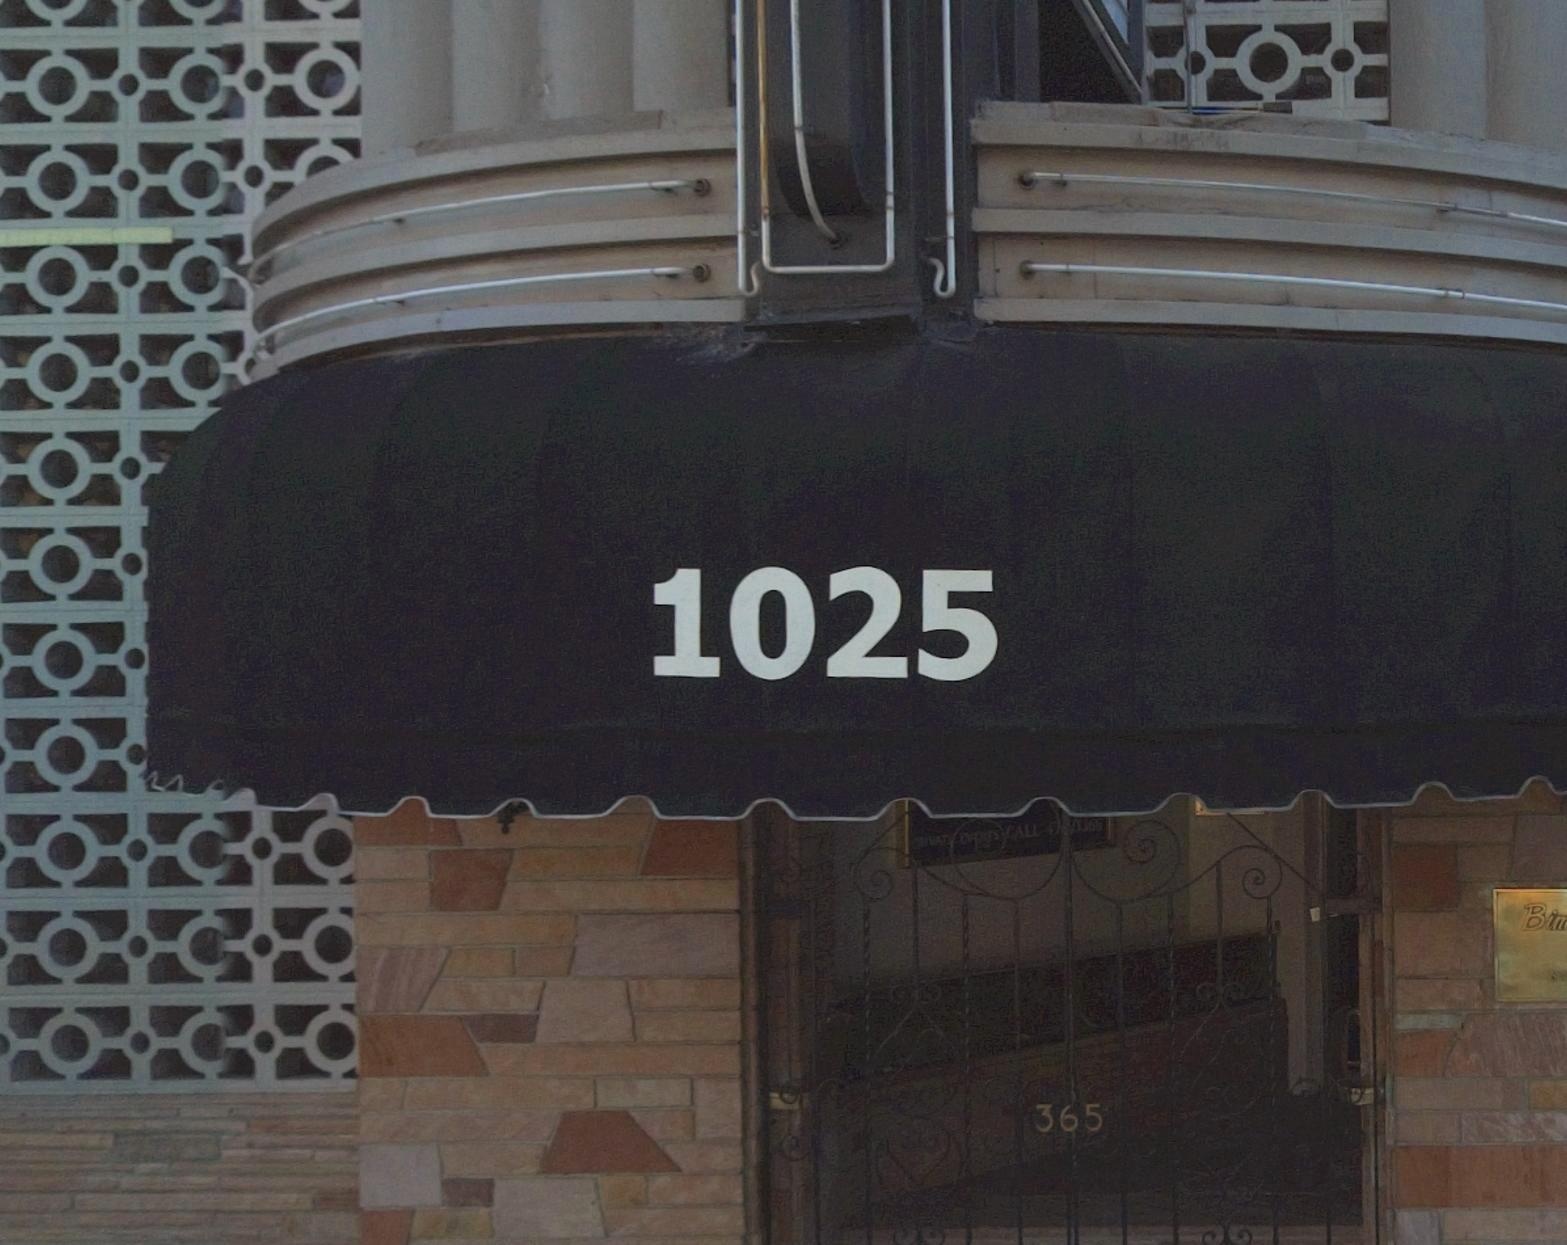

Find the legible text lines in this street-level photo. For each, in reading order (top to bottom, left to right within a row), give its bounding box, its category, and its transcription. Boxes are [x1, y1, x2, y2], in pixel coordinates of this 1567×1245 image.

[644, 555, 1001, 689] StreetNumber: 1025
[1003, 820, 1041, 841] None: CALL
[1030, 1099, 1113, 1135] StreetNumber: 365